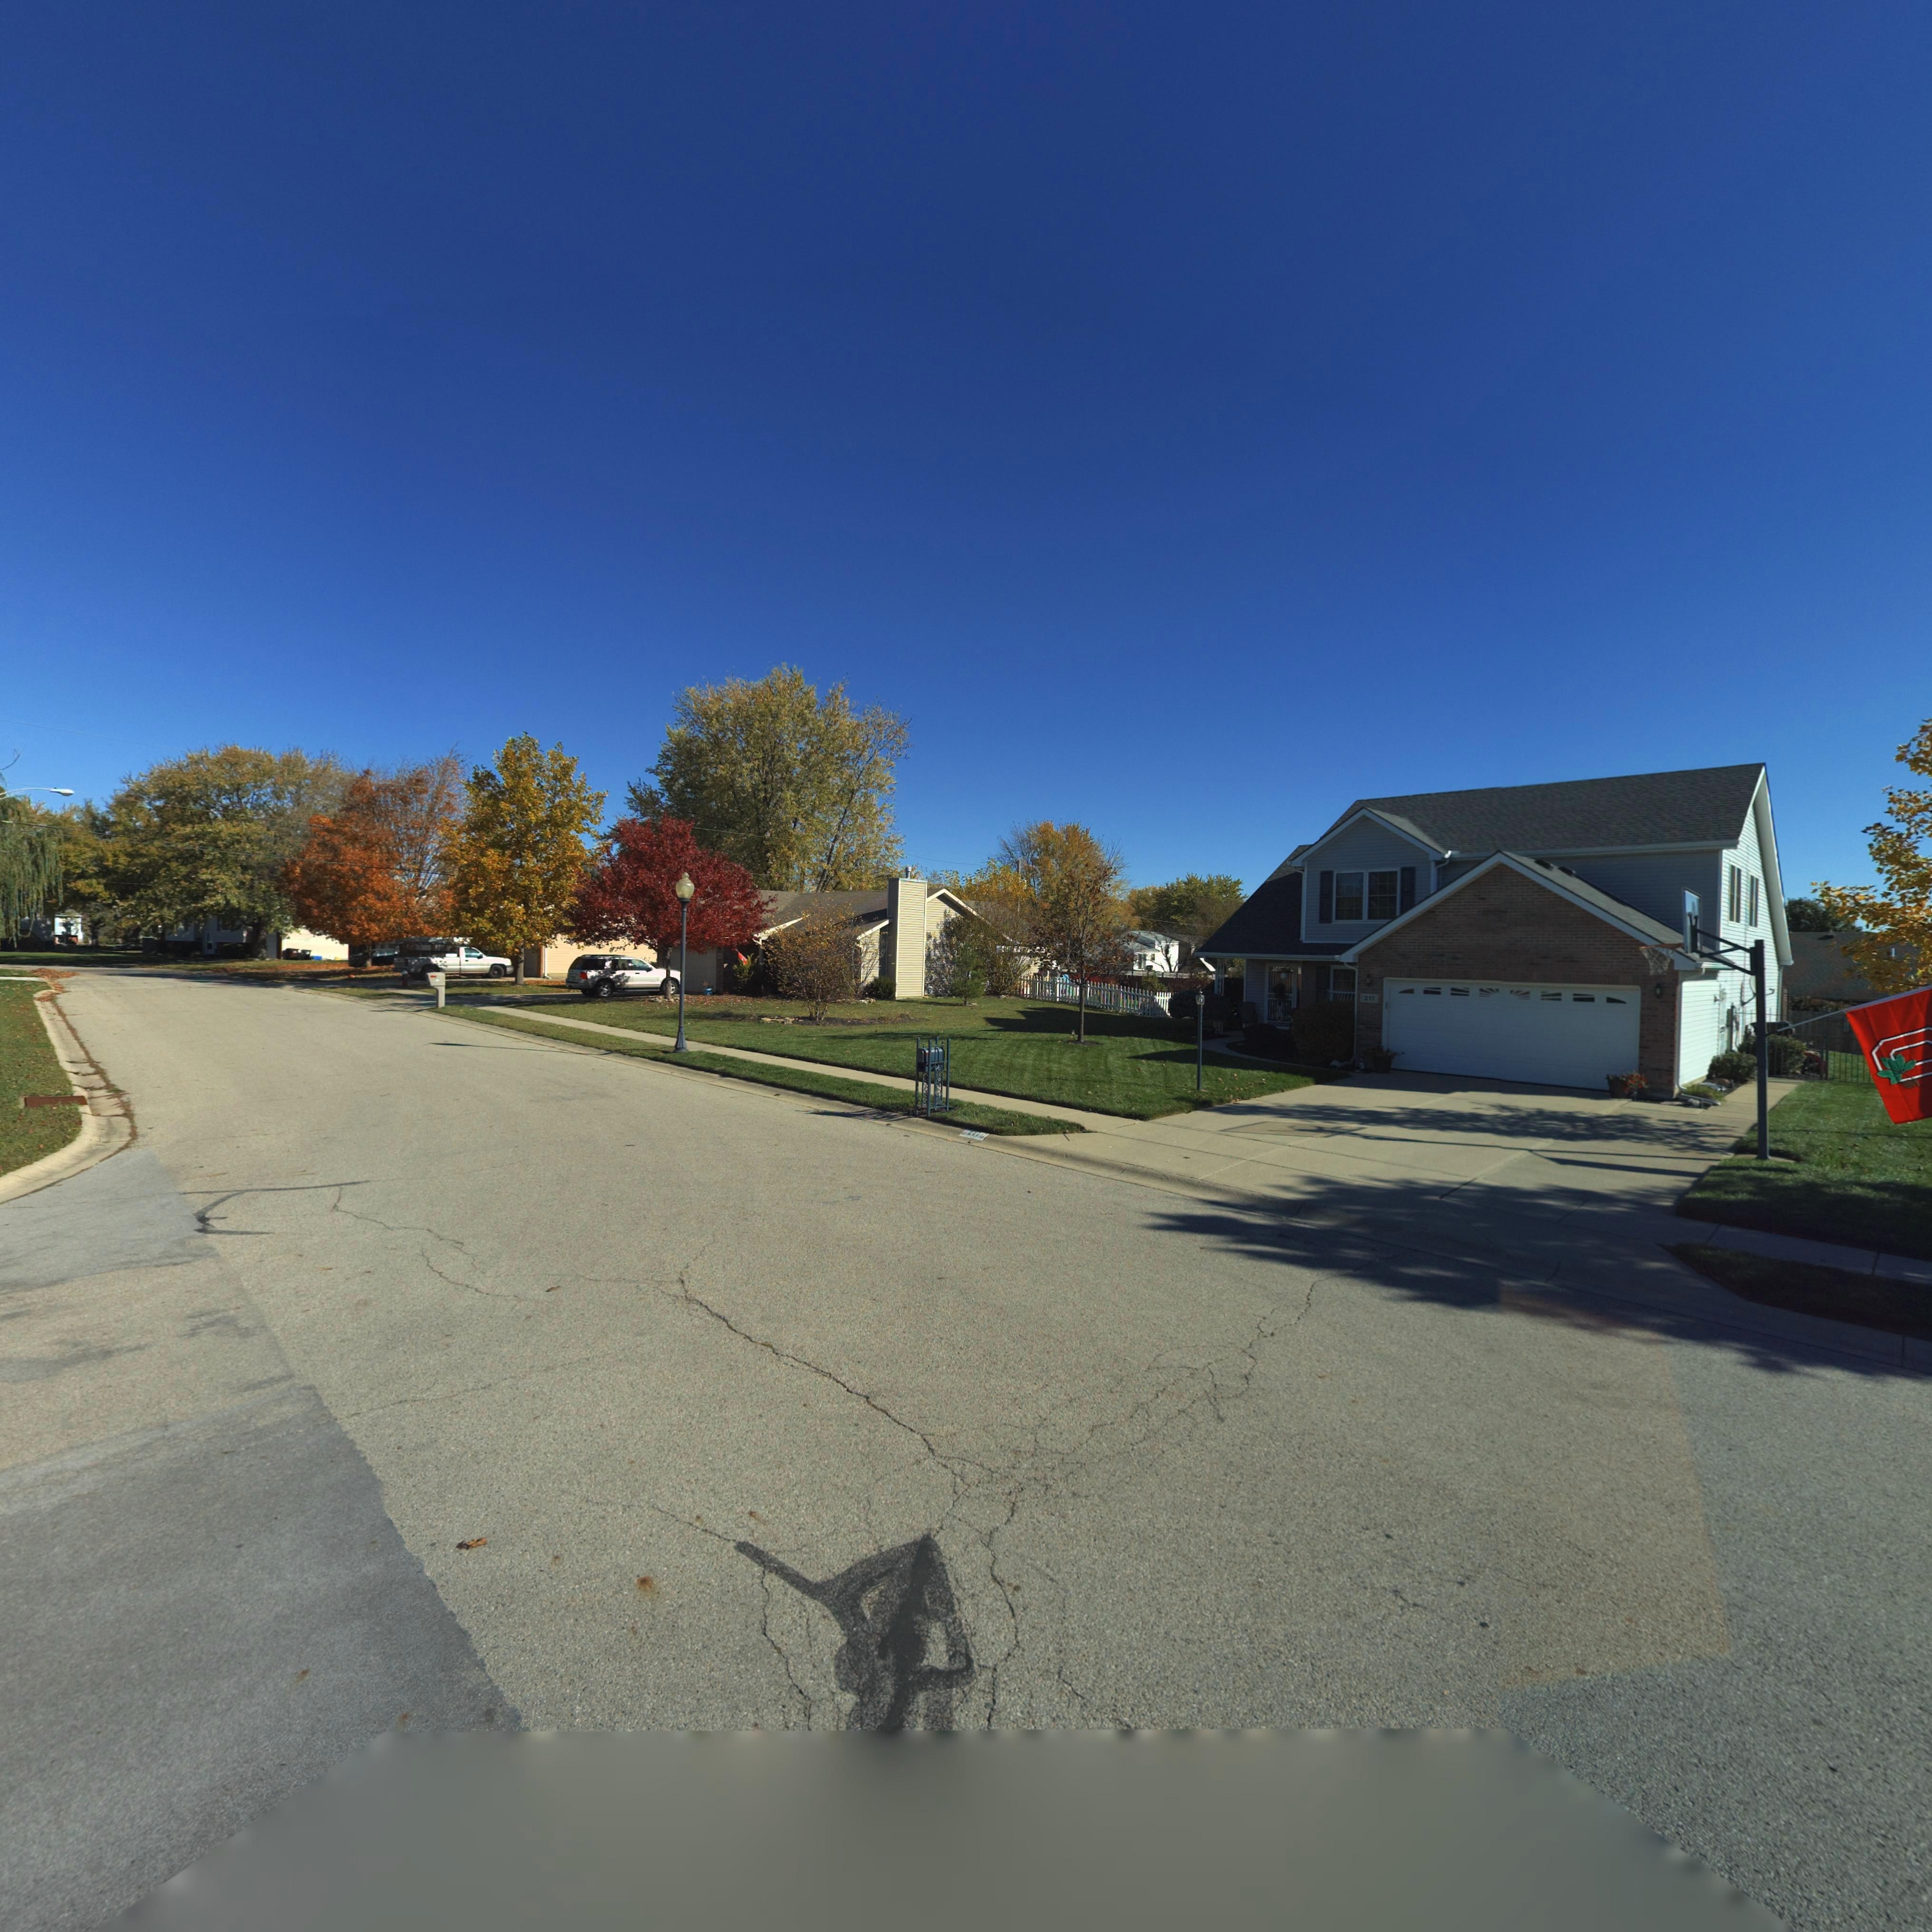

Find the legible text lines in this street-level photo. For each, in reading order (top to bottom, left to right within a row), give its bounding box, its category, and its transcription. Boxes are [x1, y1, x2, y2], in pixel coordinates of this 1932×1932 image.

[1363, 995, 1375, 1001] StreetNumber: 211
[965, 1130, 983, 1137] StreetNumber: 211